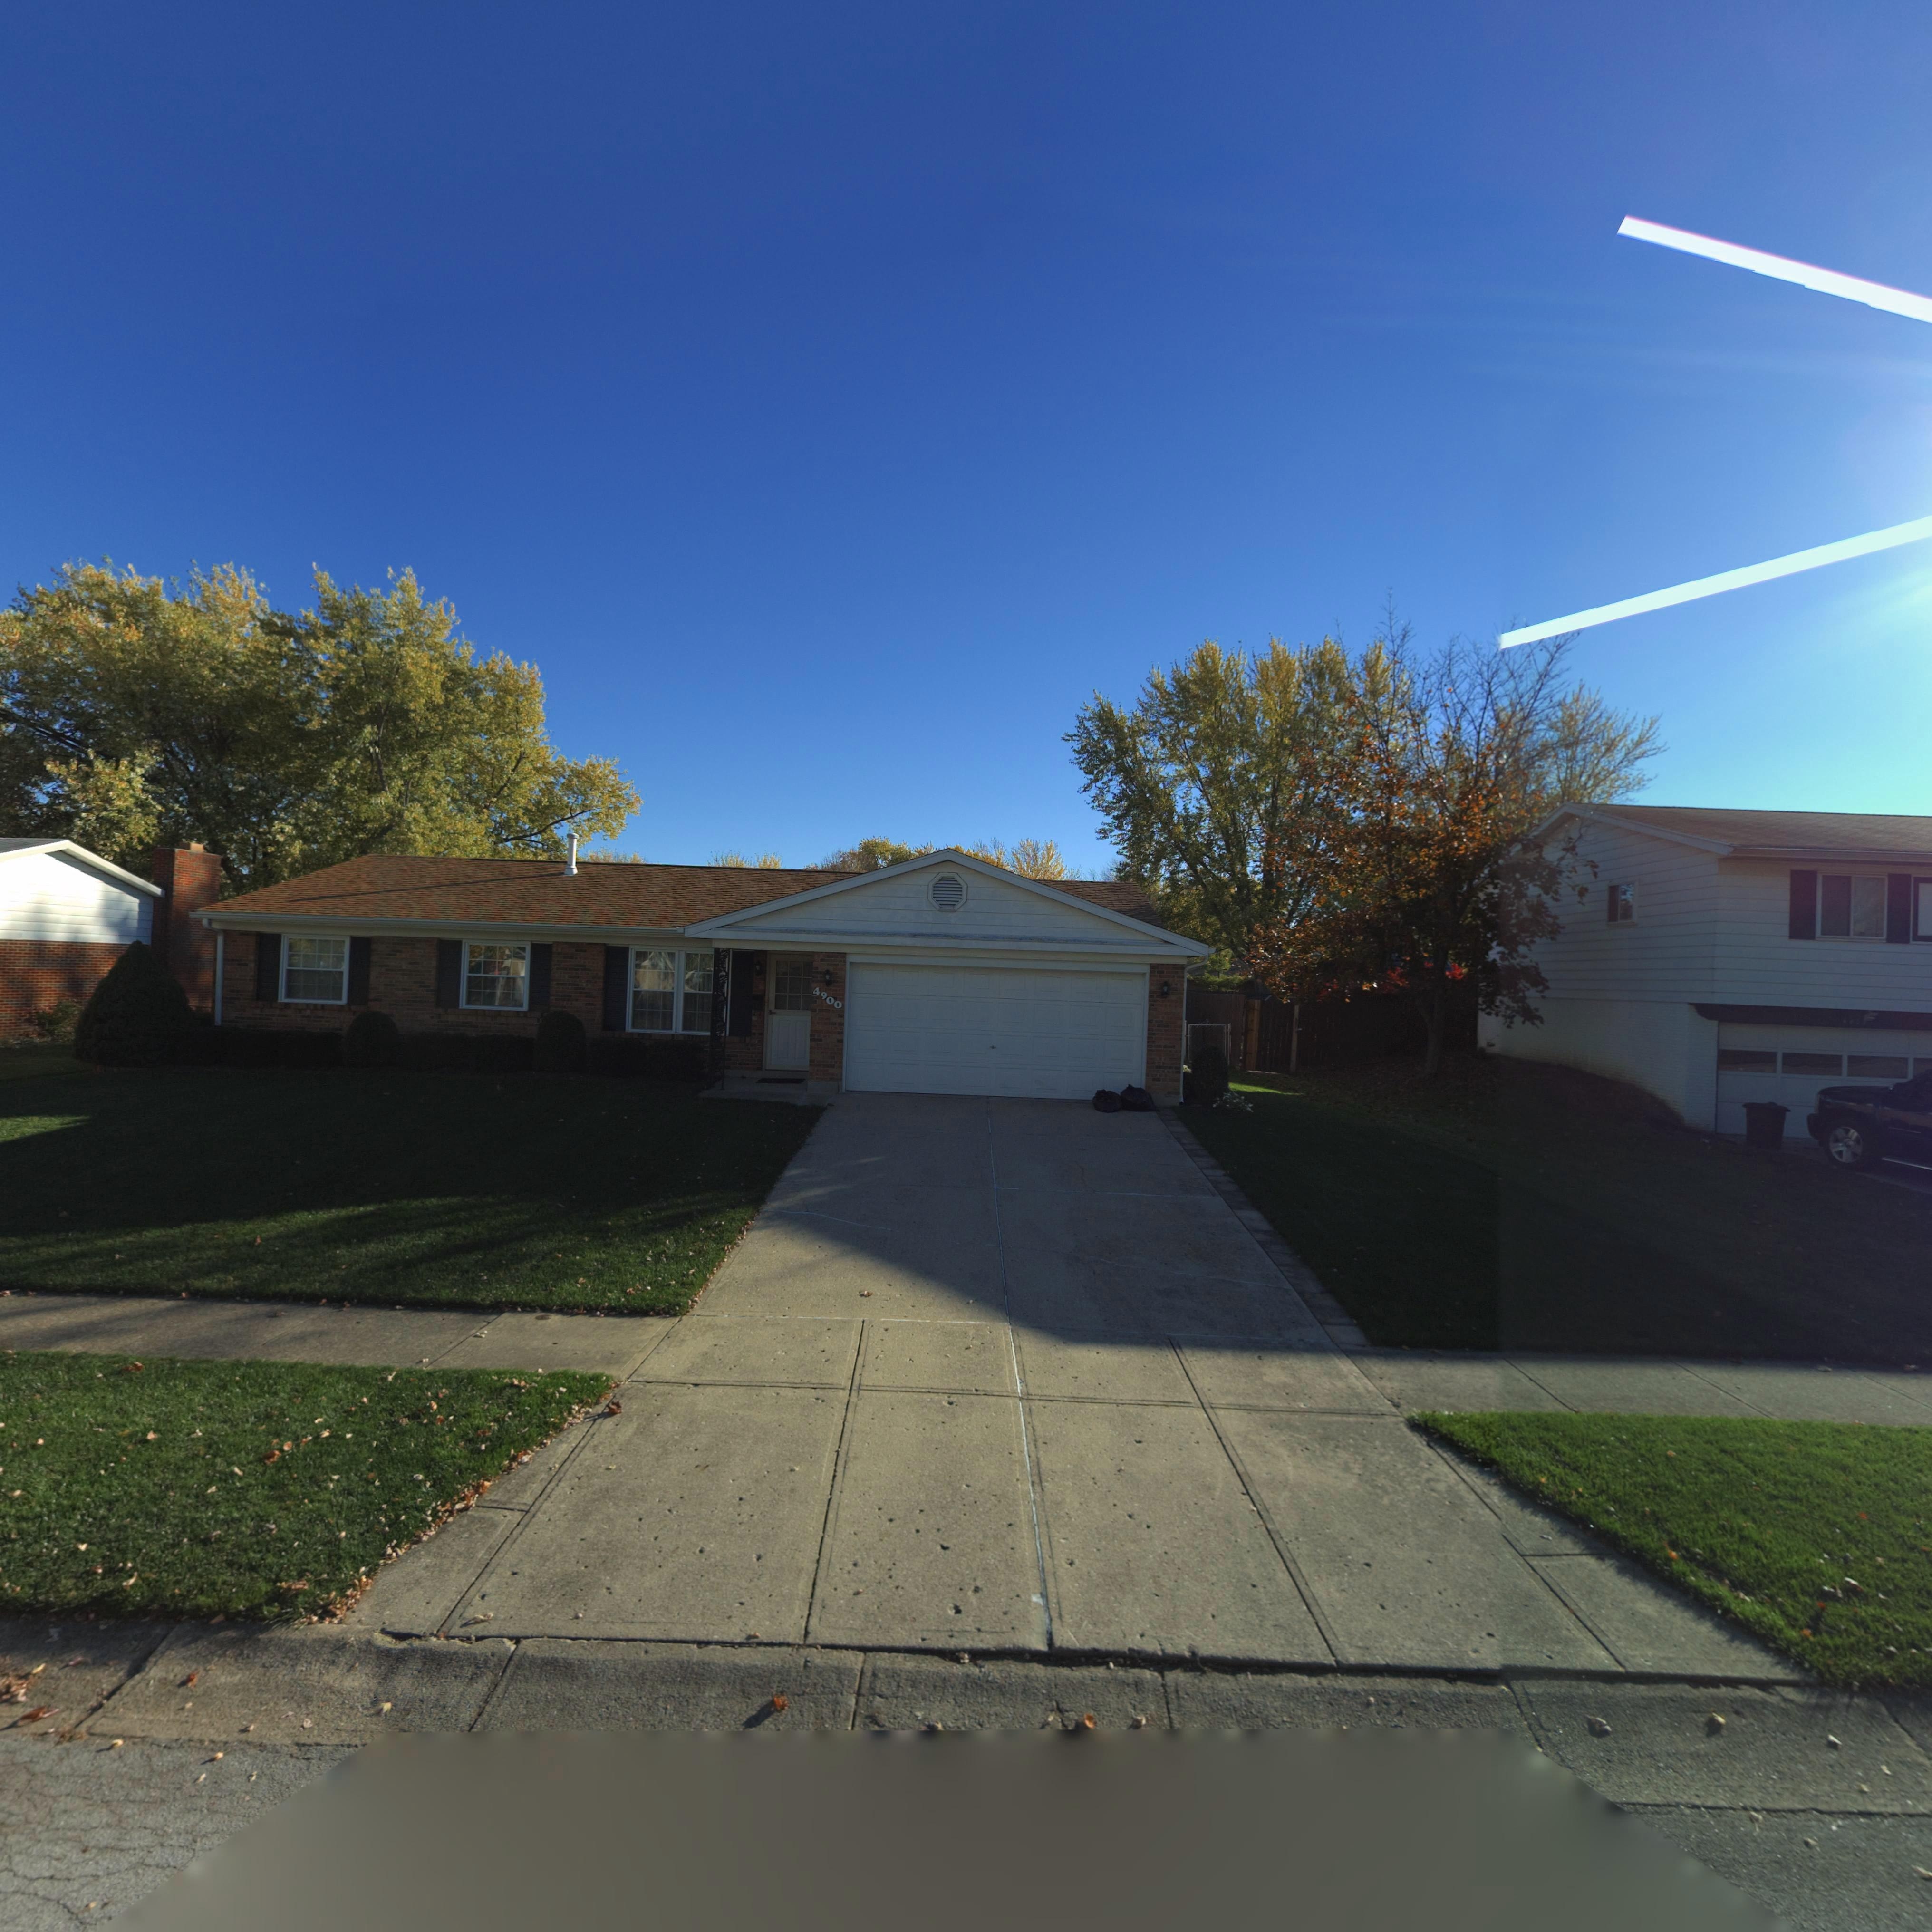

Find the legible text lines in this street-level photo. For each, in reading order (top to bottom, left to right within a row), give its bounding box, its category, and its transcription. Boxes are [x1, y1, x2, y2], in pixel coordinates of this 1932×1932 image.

[812, 987, 843, 1009] StreetNumber: 4900